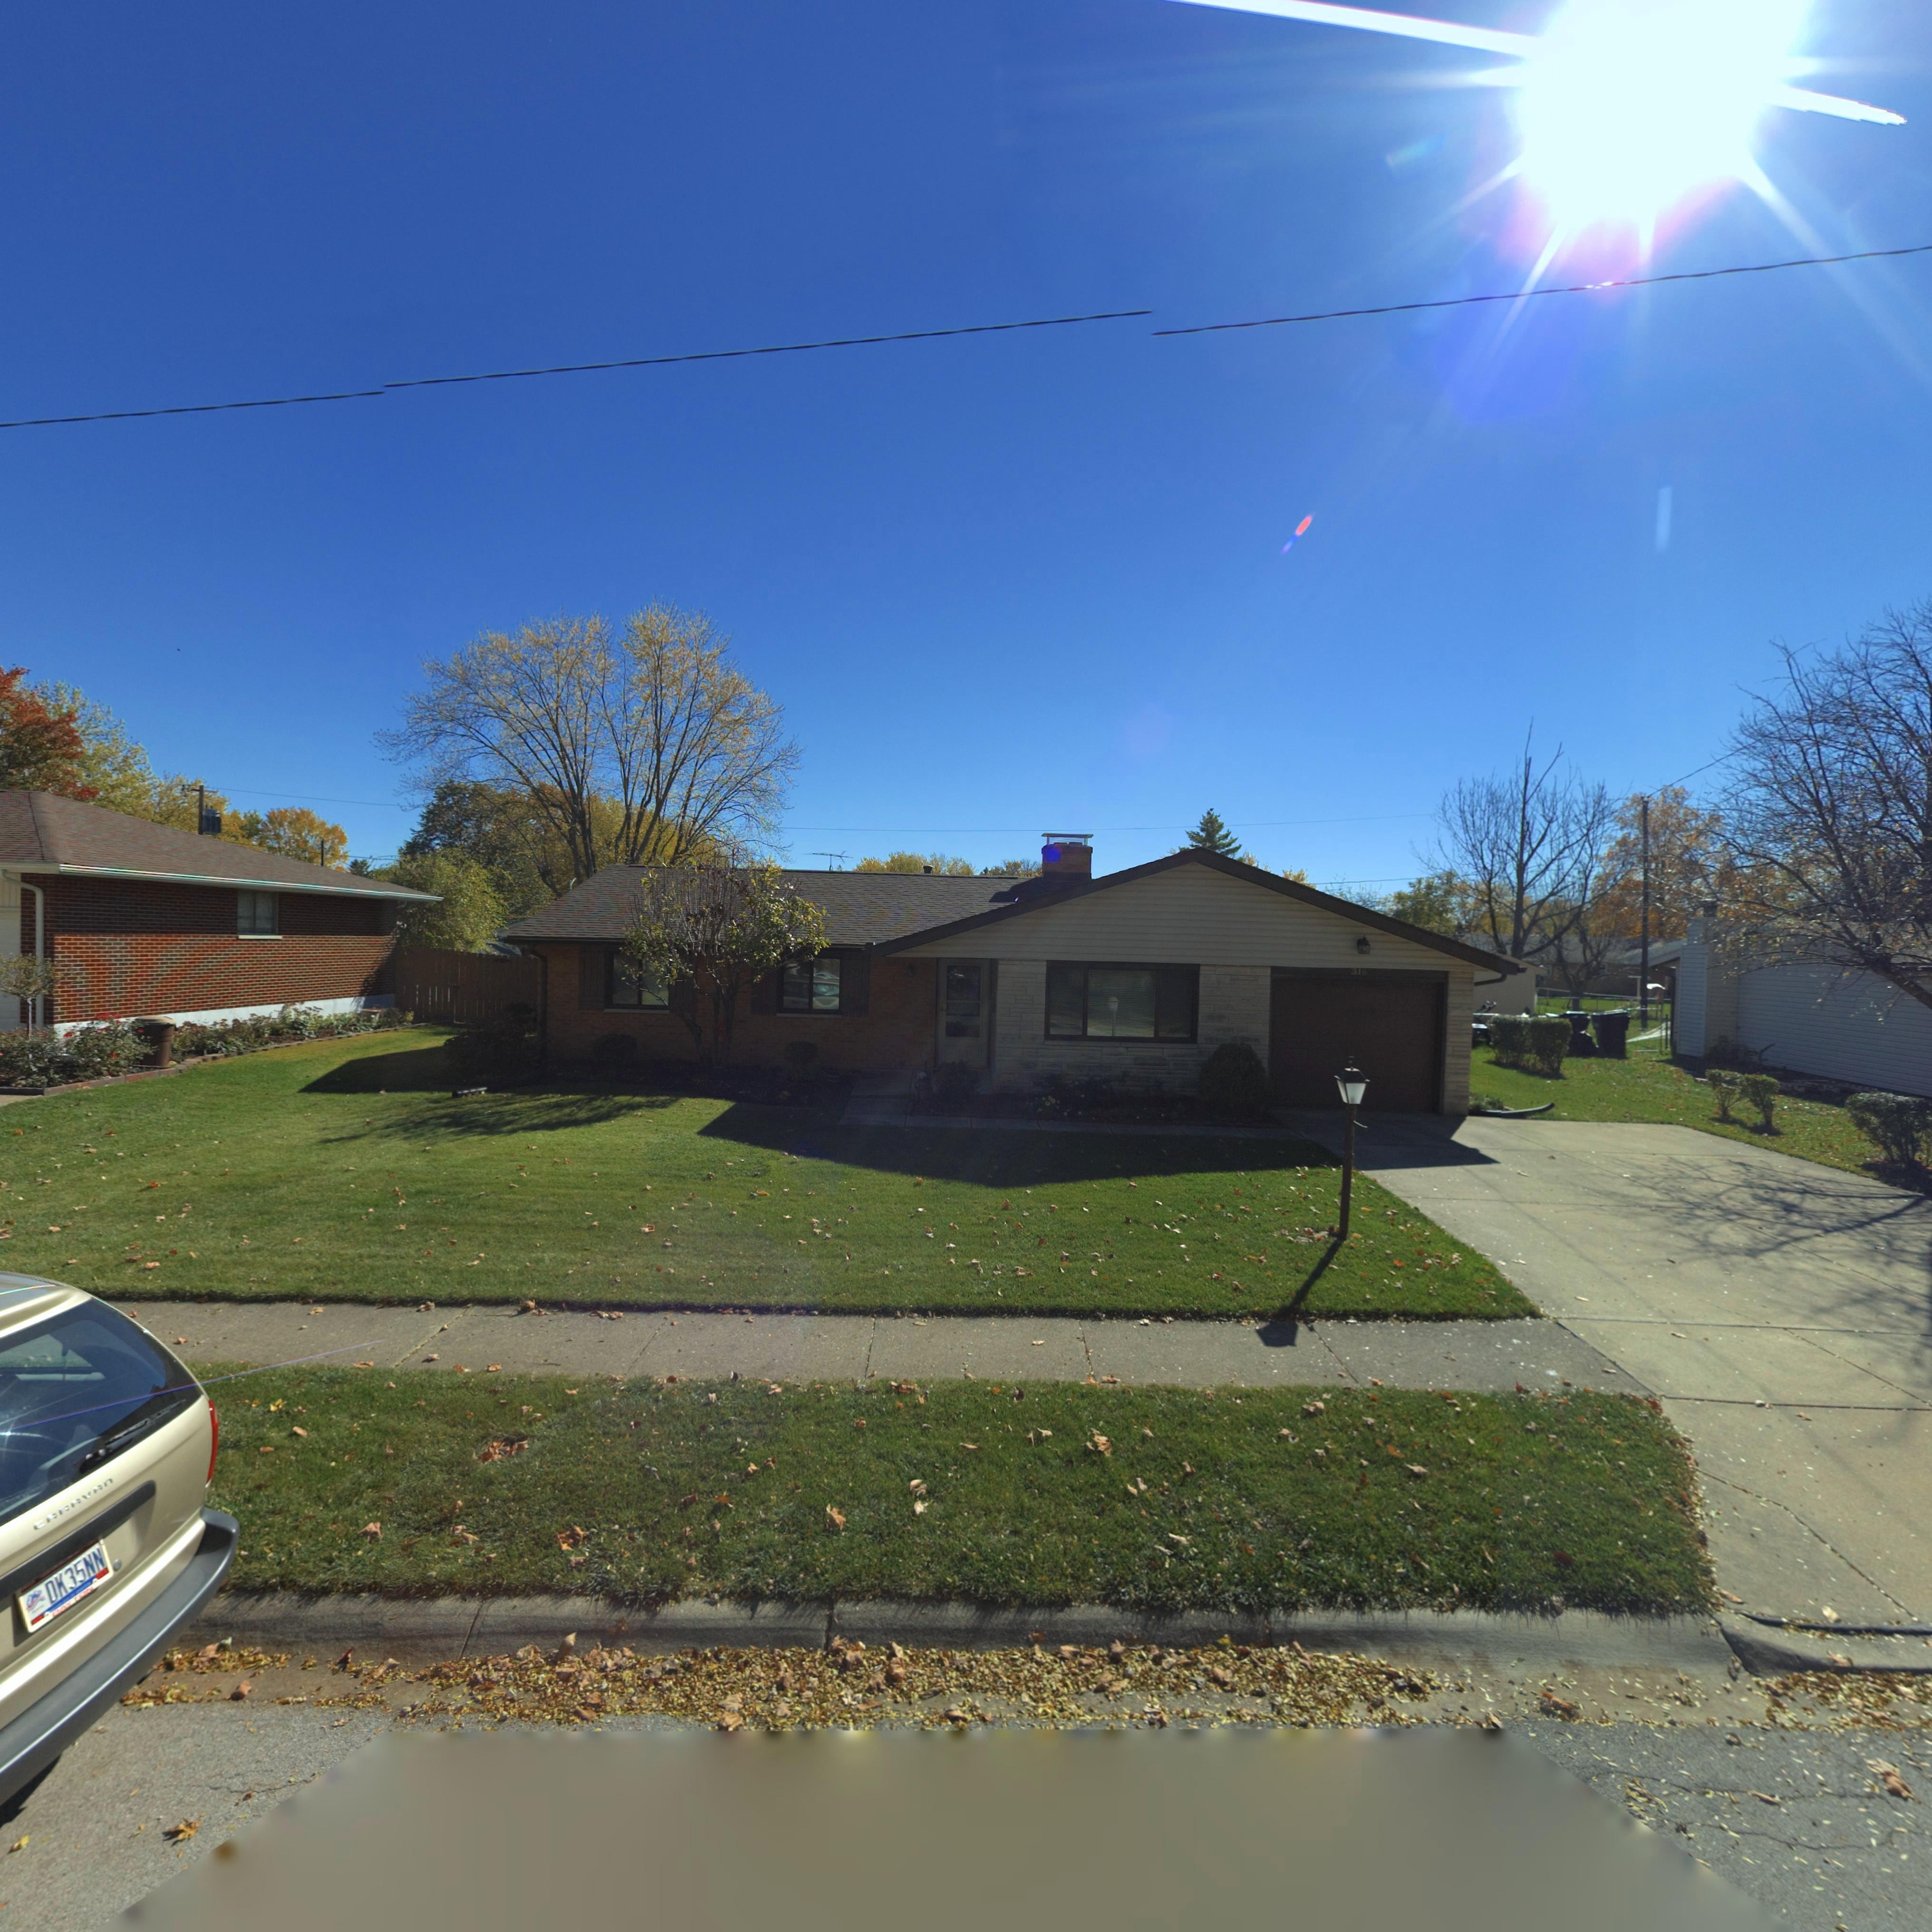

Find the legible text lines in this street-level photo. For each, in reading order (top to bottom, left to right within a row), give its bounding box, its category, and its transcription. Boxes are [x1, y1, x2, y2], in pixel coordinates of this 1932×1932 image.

[1350, 966, 1369, 976] StreetNumber: 31*
[31, 1474, 116, 1534] None: CARAVAN
[42, 1545, 107, 1606] None: DK35NN